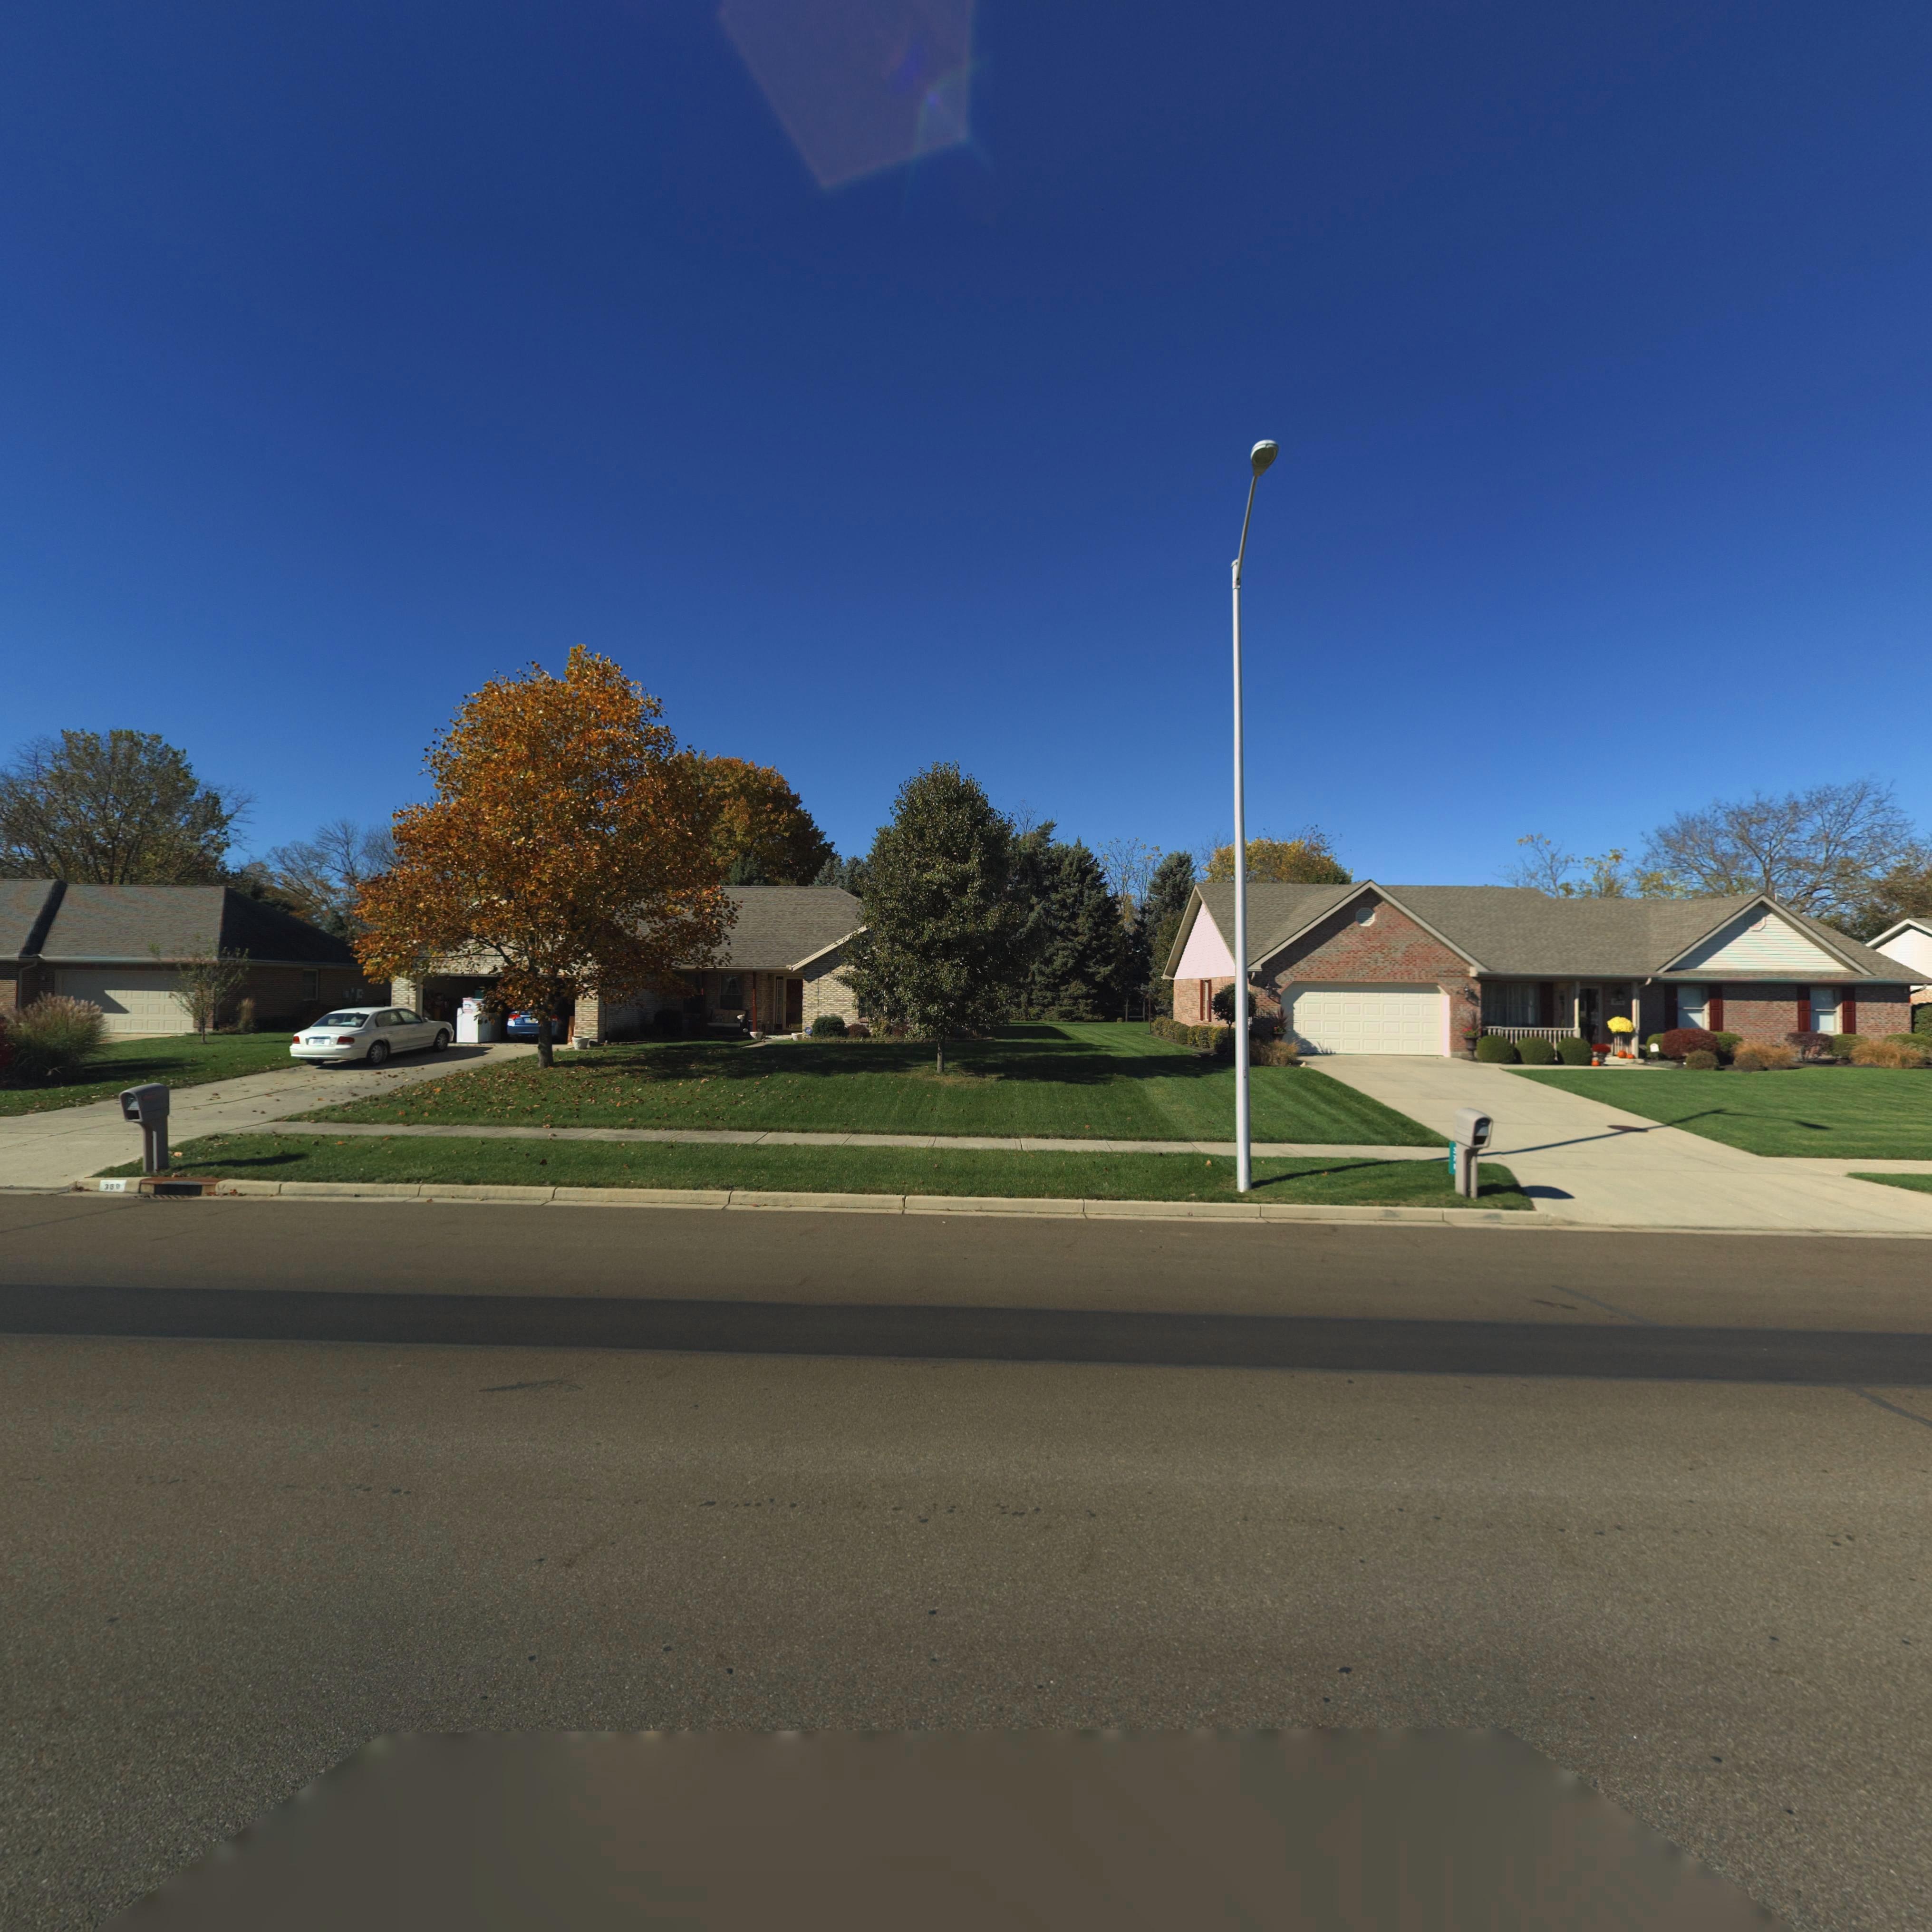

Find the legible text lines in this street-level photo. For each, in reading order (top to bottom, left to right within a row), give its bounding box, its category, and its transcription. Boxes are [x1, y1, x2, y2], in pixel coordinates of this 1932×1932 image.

[1452, 1146, 1458, 1170] StreetNumber: 371
[104, 1184, 120, 1190] StreetNumber: 369